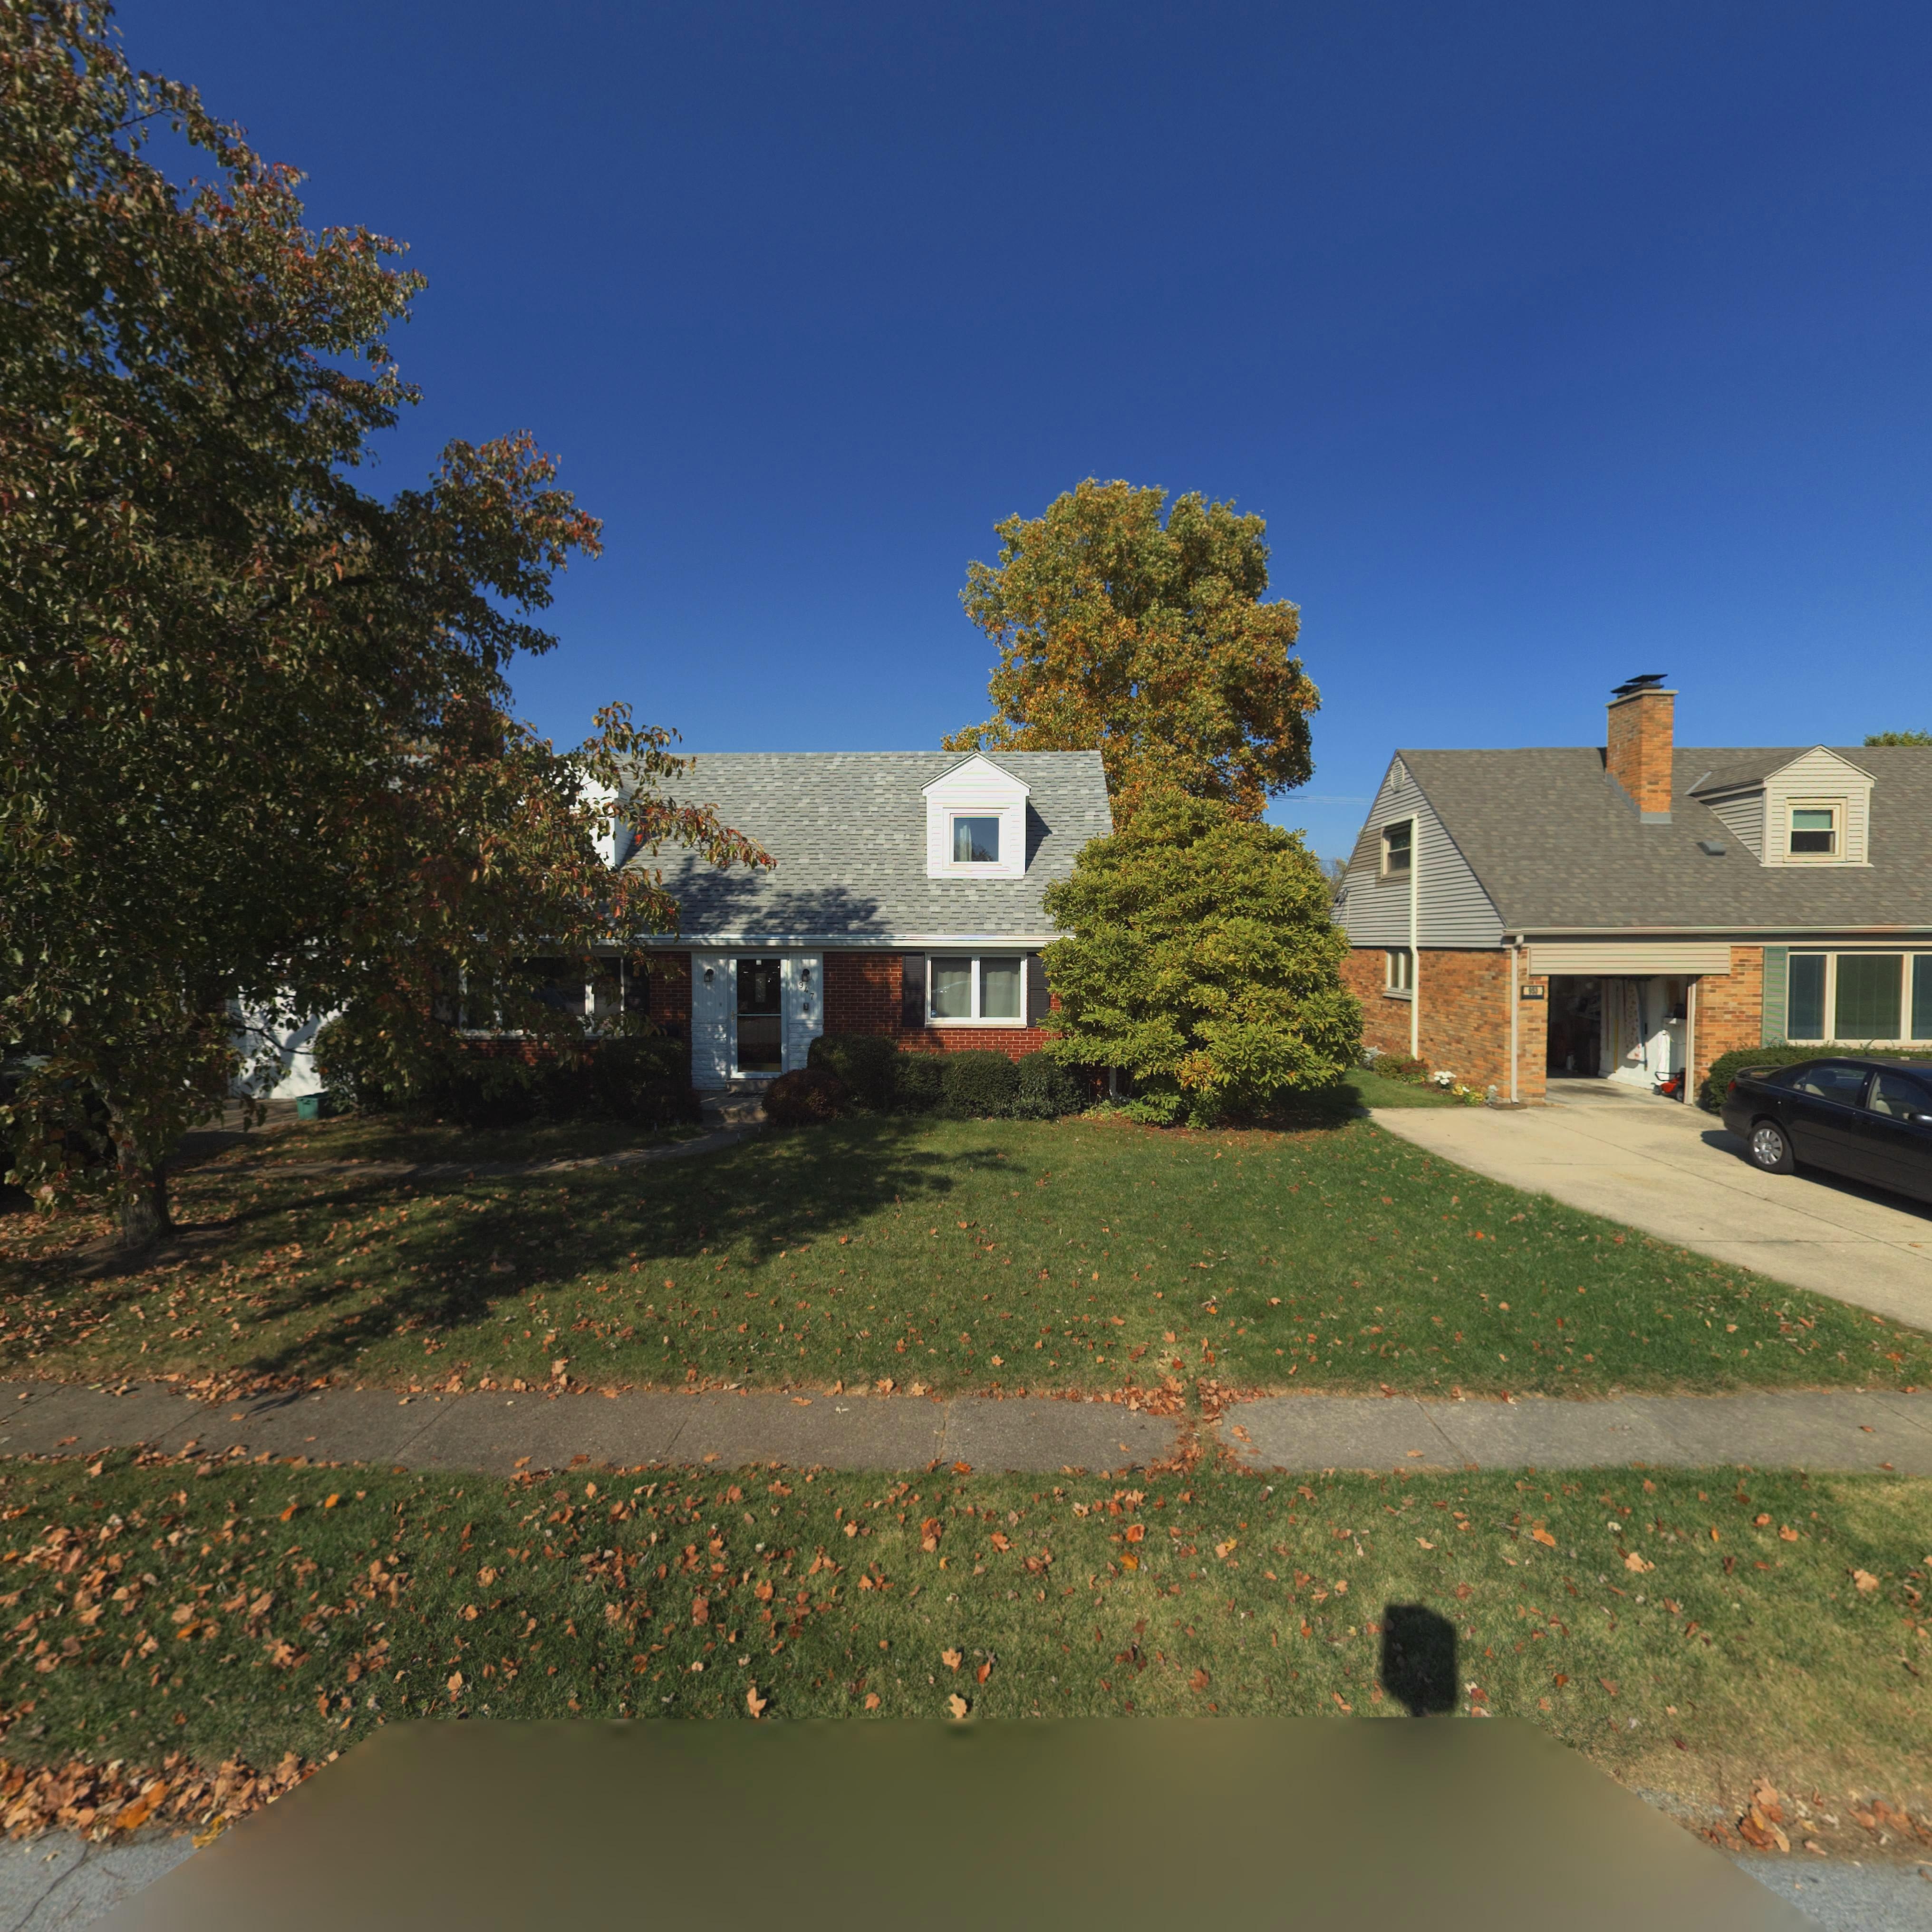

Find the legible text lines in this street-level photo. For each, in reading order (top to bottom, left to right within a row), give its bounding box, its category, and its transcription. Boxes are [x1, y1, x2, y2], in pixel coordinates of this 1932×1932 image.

[798, 981, 815, 1001] StreetNumber: 947
[1528, 986, 1538, 995] StreetNumber: 953